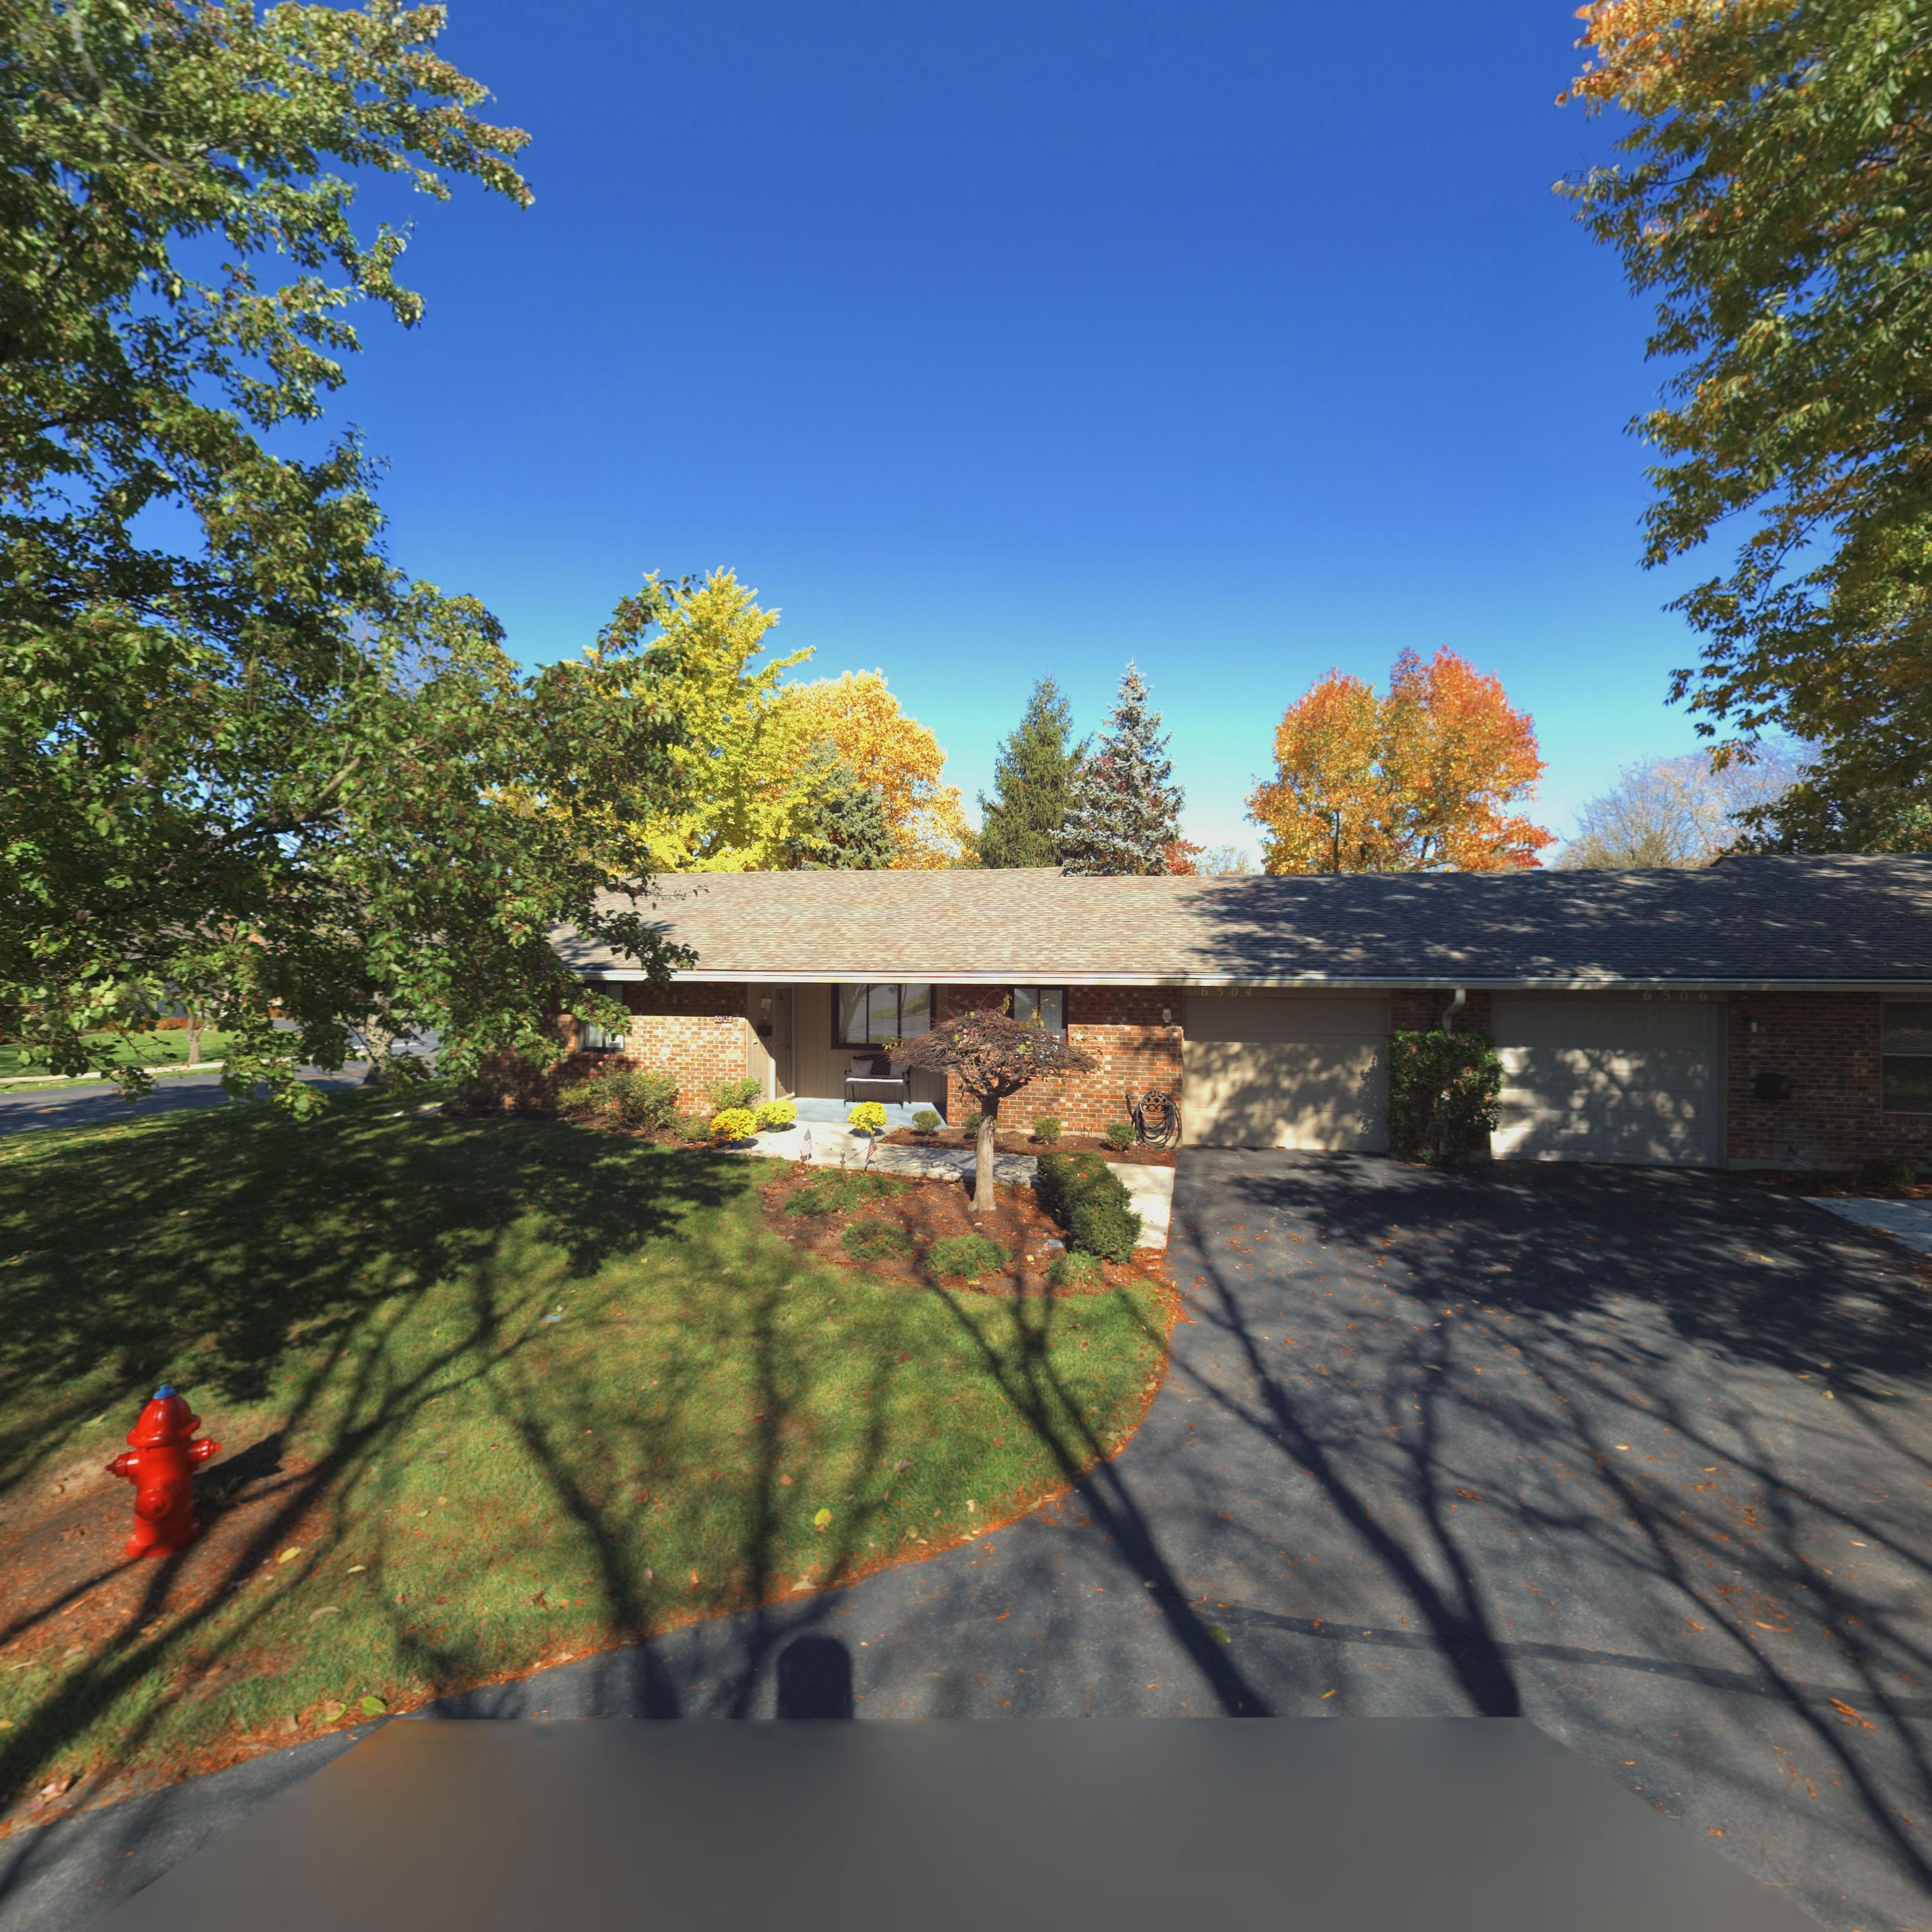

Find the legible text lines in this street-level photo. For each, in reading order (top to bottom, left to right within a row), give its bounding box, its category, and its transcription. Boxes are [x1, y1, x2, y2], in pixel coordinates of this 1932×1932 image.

[1200, 986, 1253, 997] StreetNumber: 6504
[1642, 989, 1709, 1002] StreetNumber: 6506
[714, 1014, 733, 1023] StreetNumber: *504